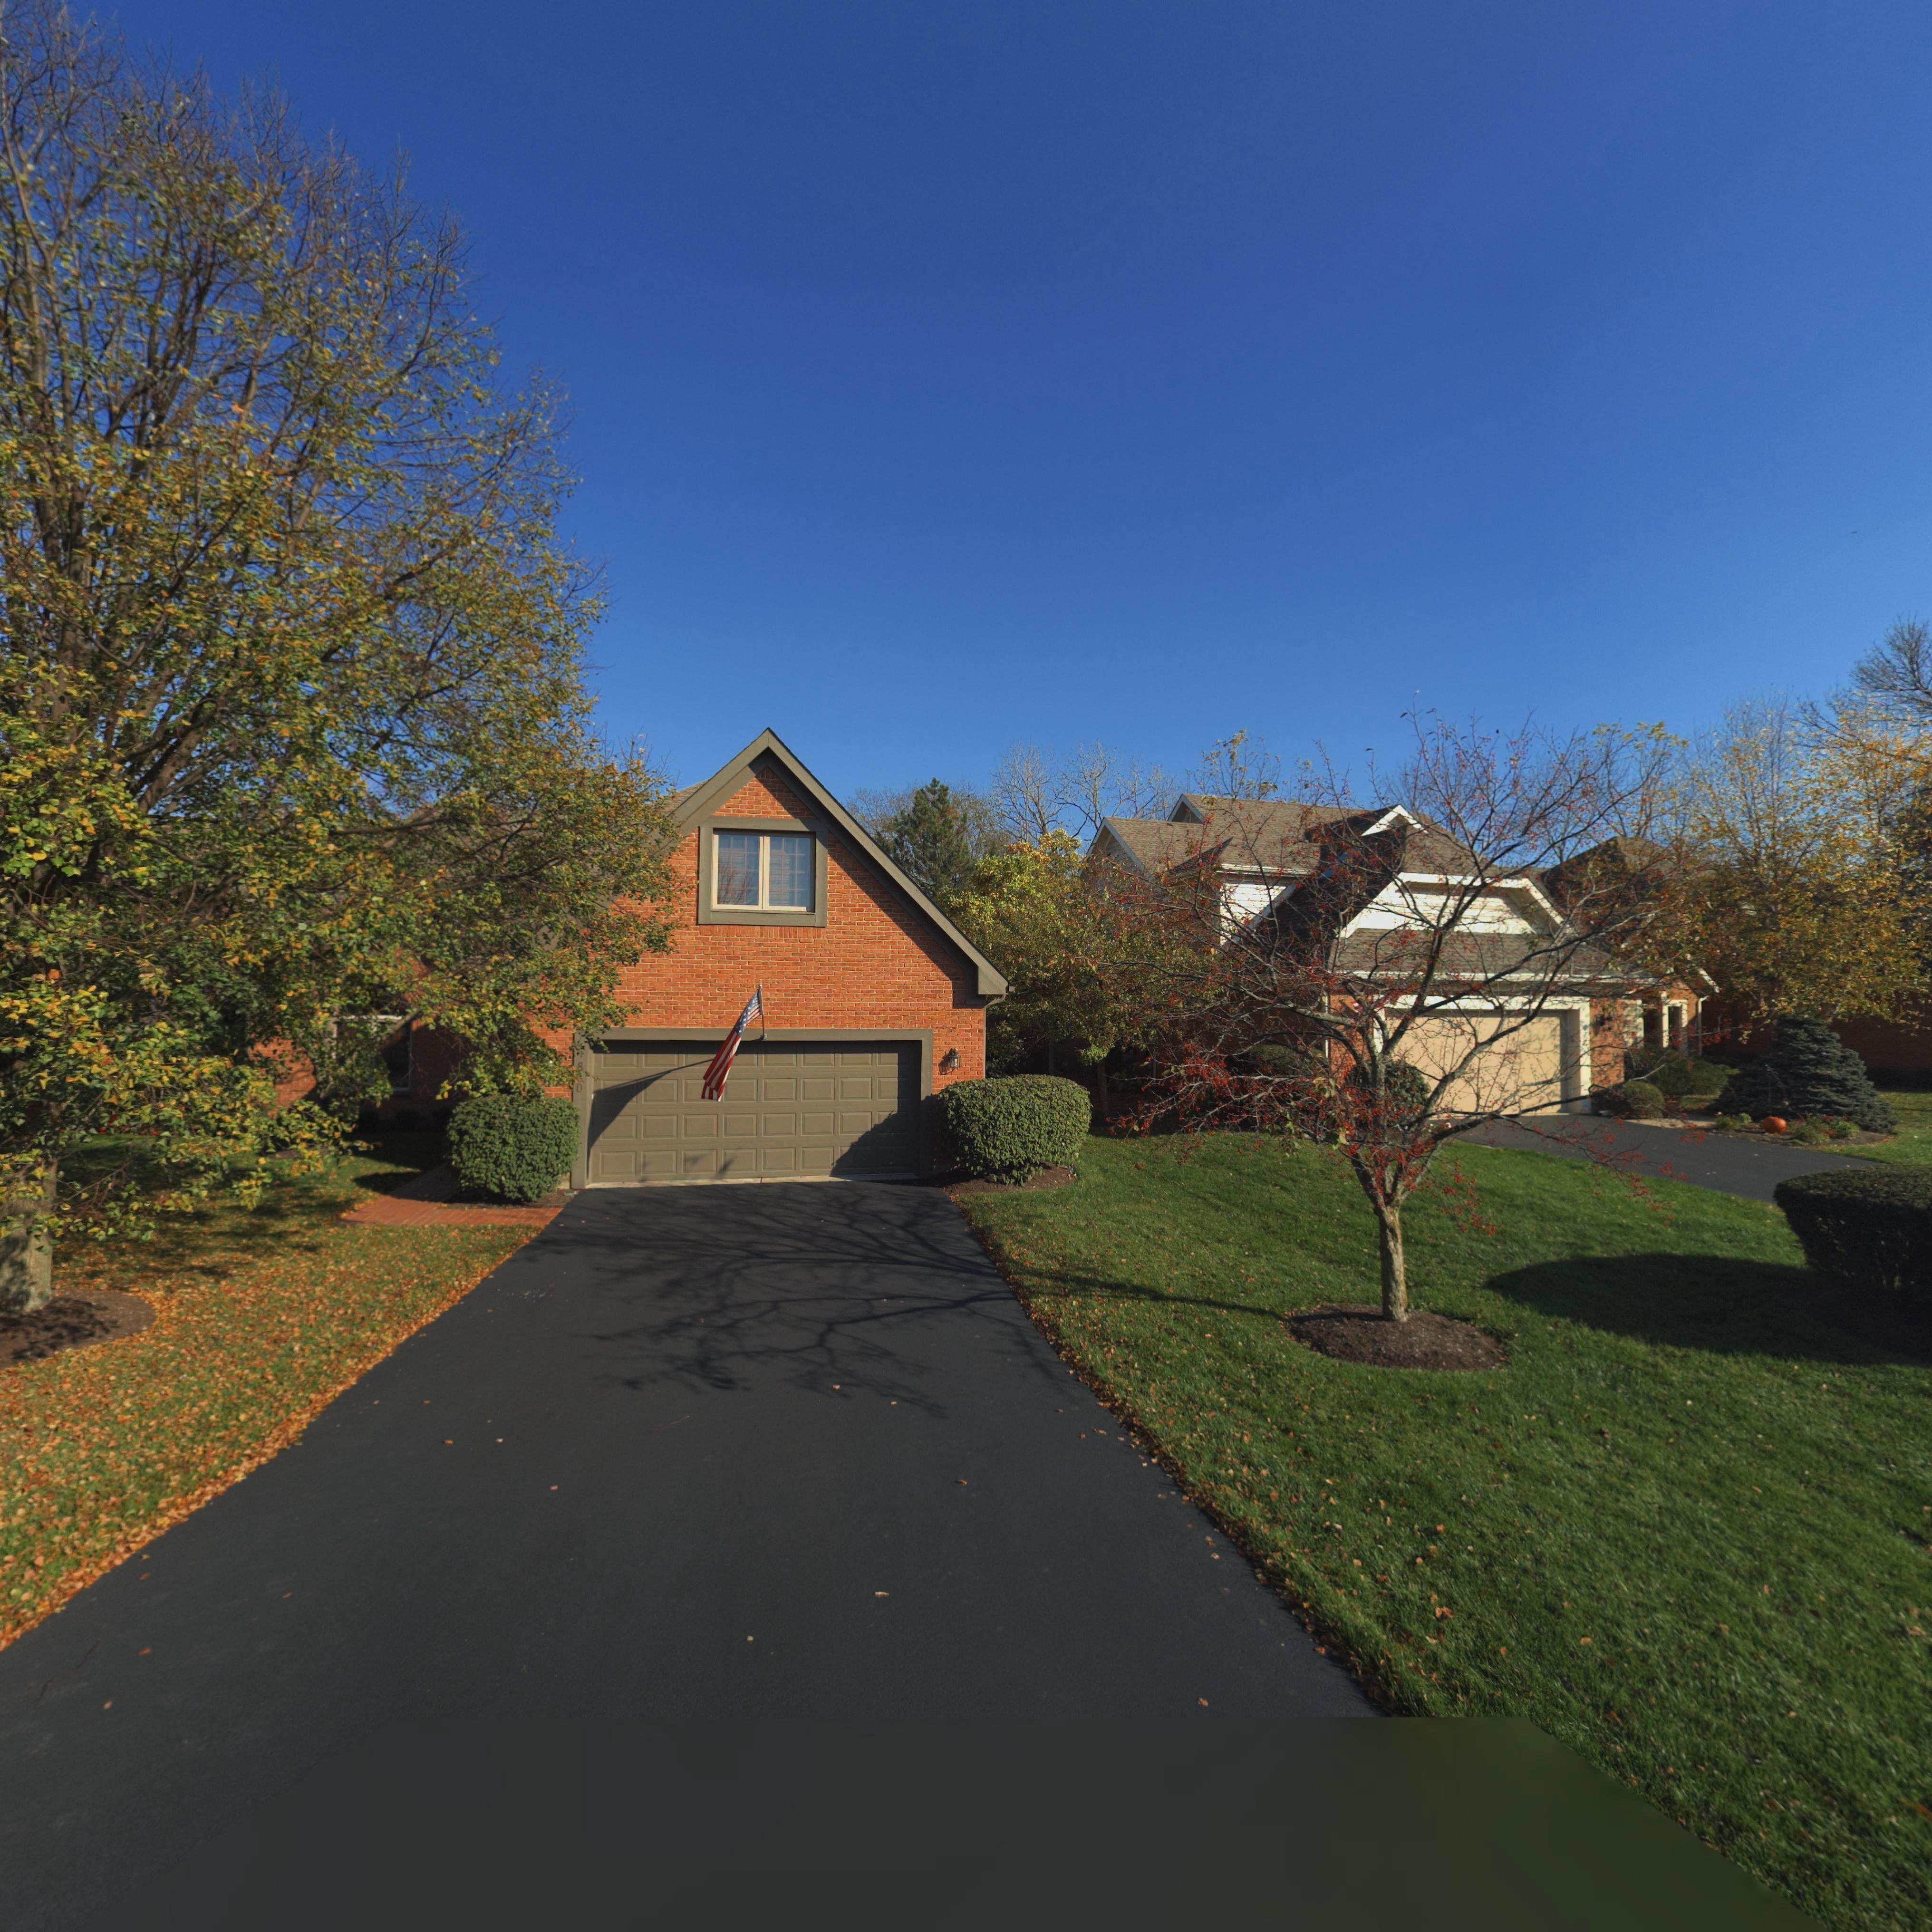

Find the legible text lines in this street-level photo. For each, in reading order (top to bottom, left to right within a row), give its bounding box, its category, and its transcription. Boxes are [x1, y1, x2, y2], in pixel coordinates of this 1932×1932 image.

[575, 1061, 585, 1094] StreetNumber: 8*0